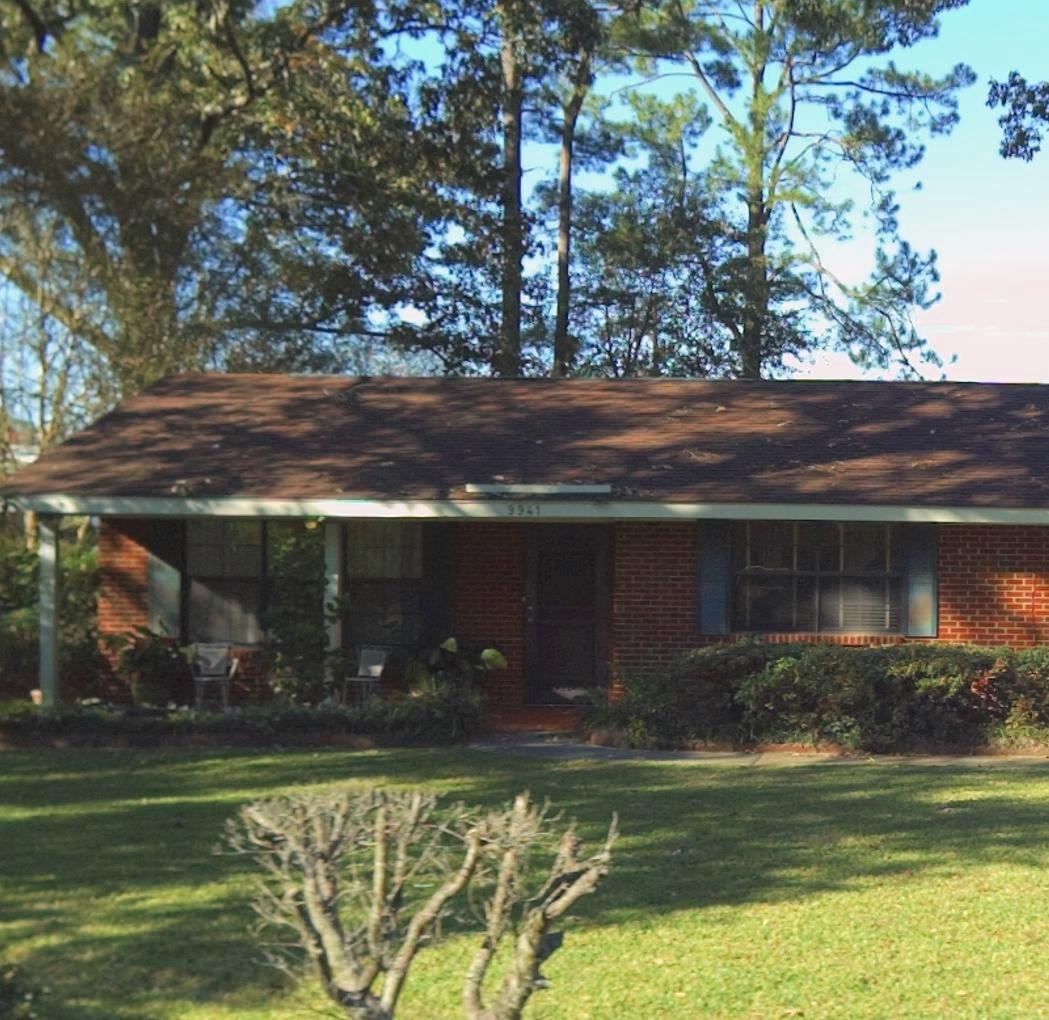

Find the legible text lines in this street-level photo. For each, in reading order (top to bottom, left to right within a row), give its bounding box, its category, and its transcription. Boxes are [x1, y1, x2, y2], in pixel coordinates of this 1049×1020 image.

[507, 503, 542, 517] StreetNumber: 9941